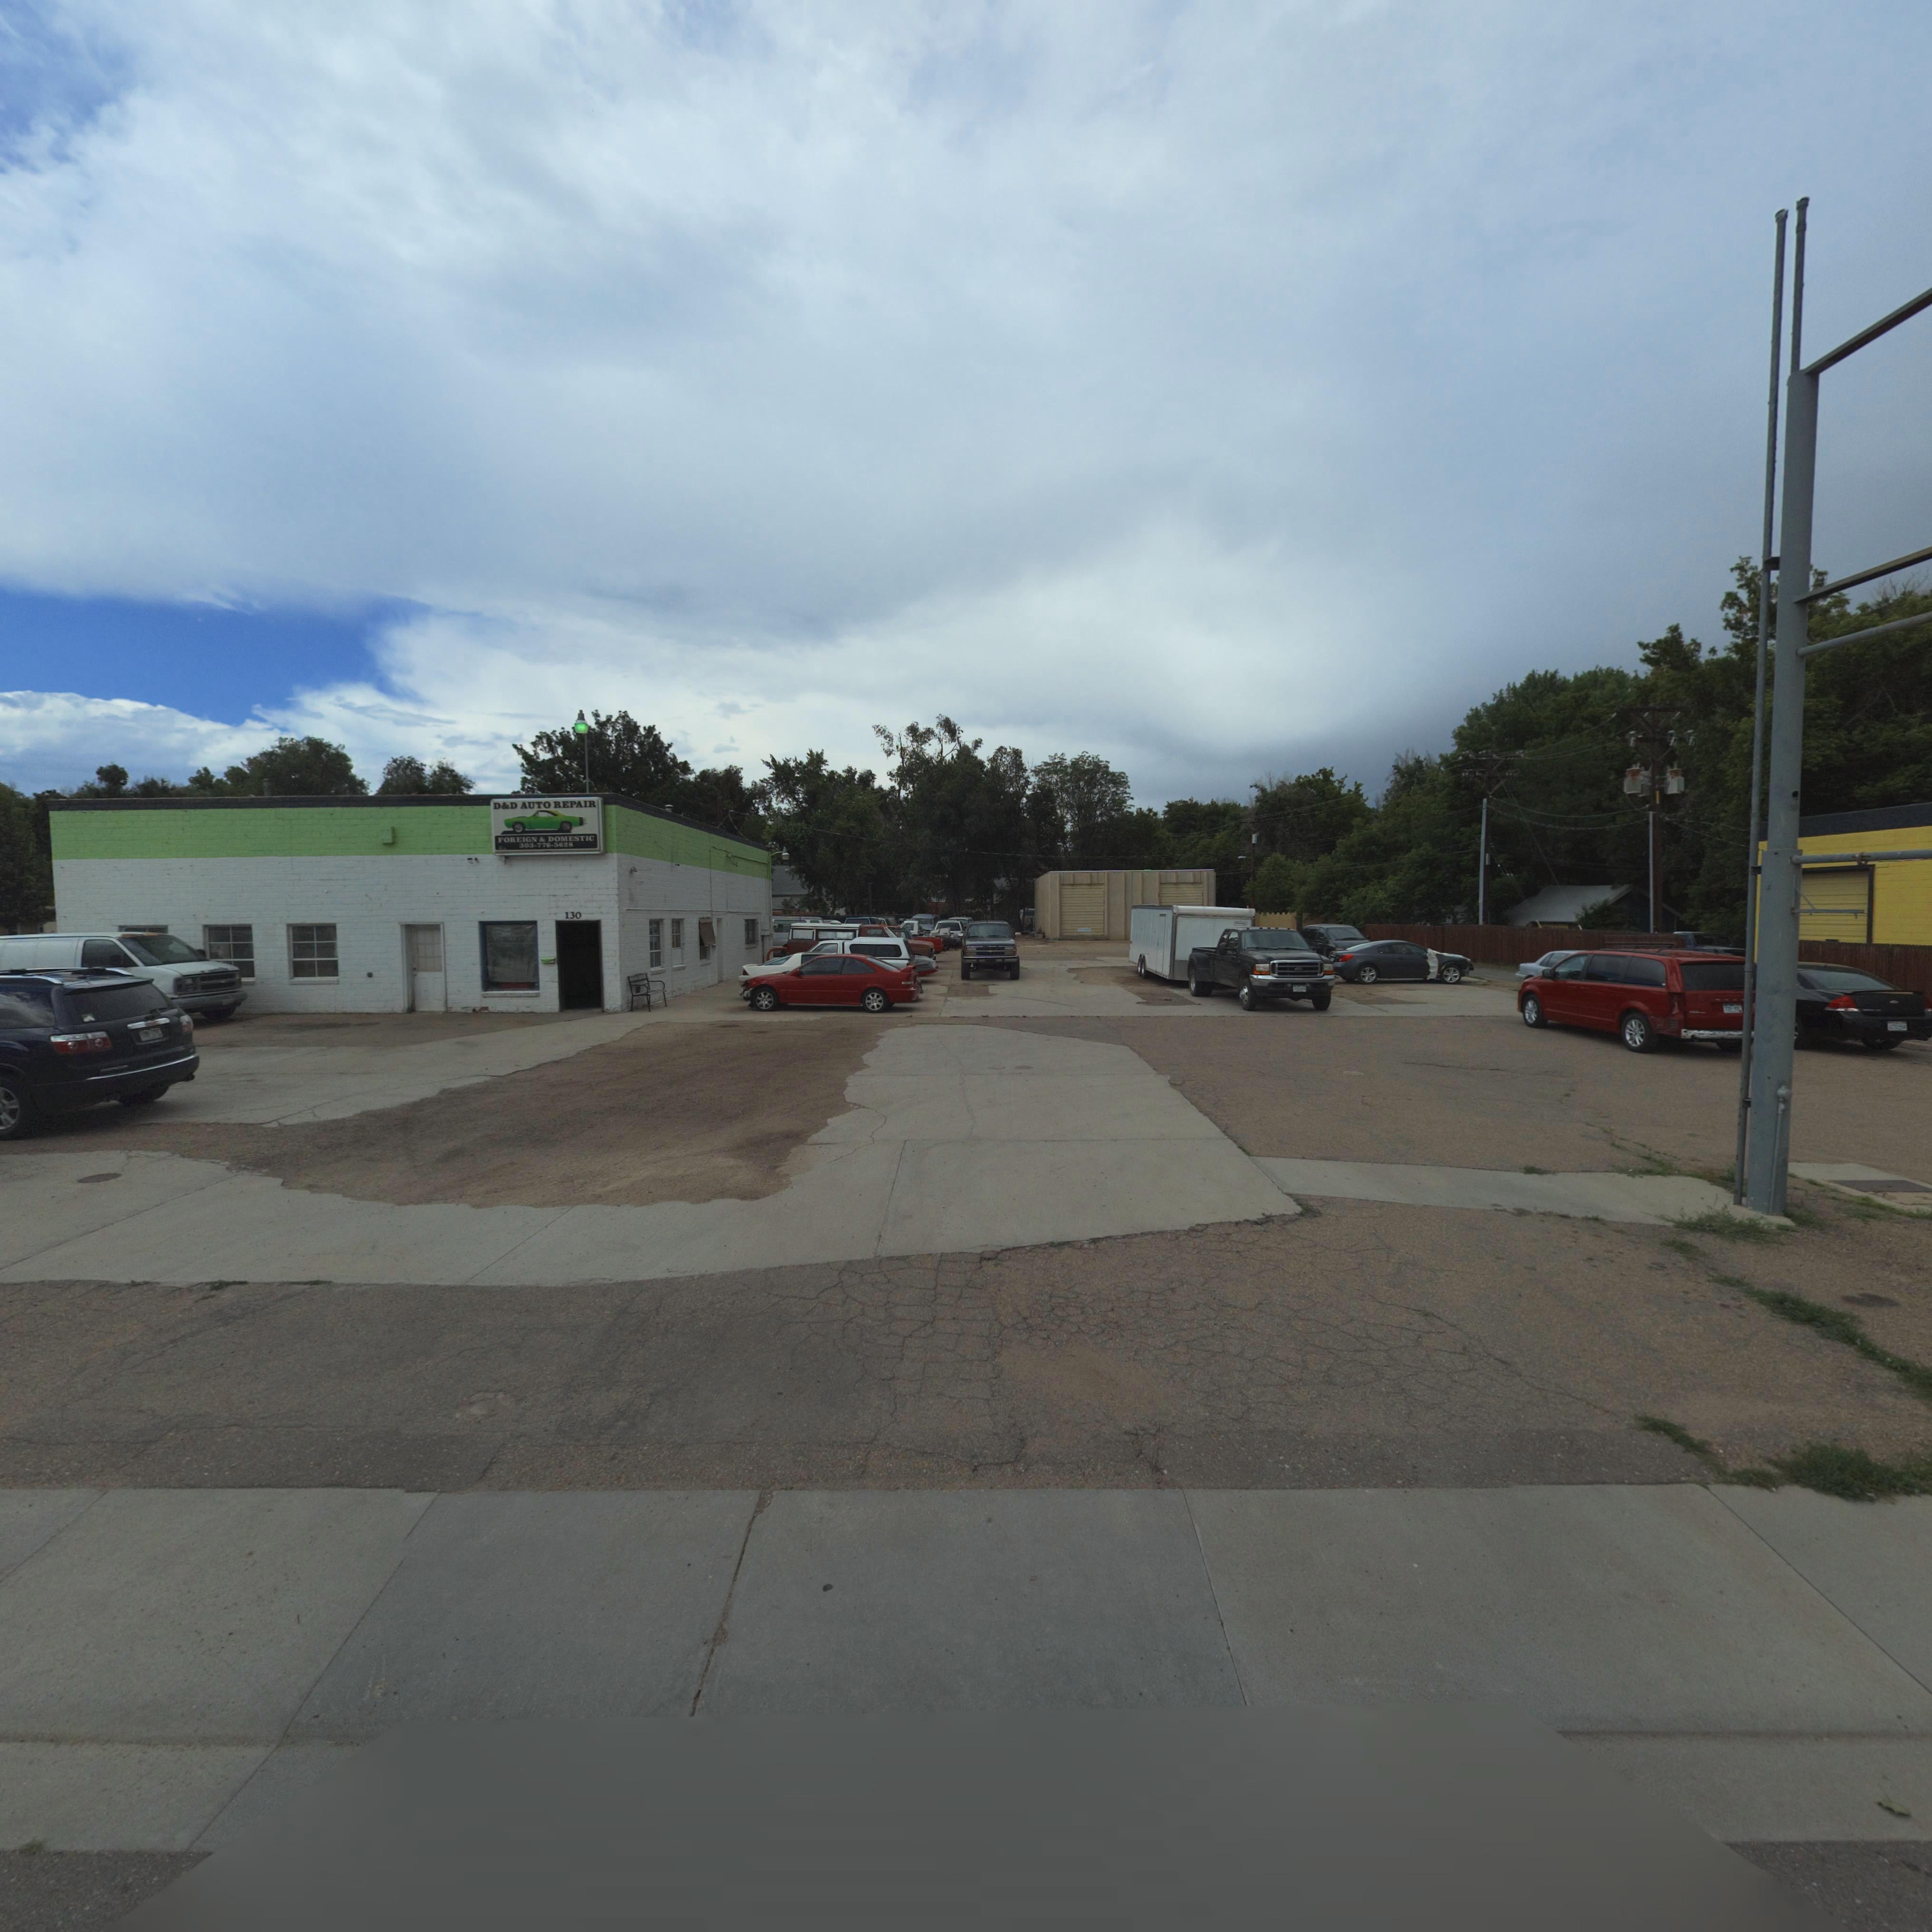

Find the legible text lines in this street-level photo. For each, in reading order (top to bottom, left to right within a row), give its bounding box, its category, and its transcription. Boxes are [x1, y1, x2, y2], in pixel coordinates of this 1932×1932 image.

[493, 800, 596, 809] BusinessName: D*D AUTO REPAIR
[565, 911, 581, 919] StreetNumber: 130